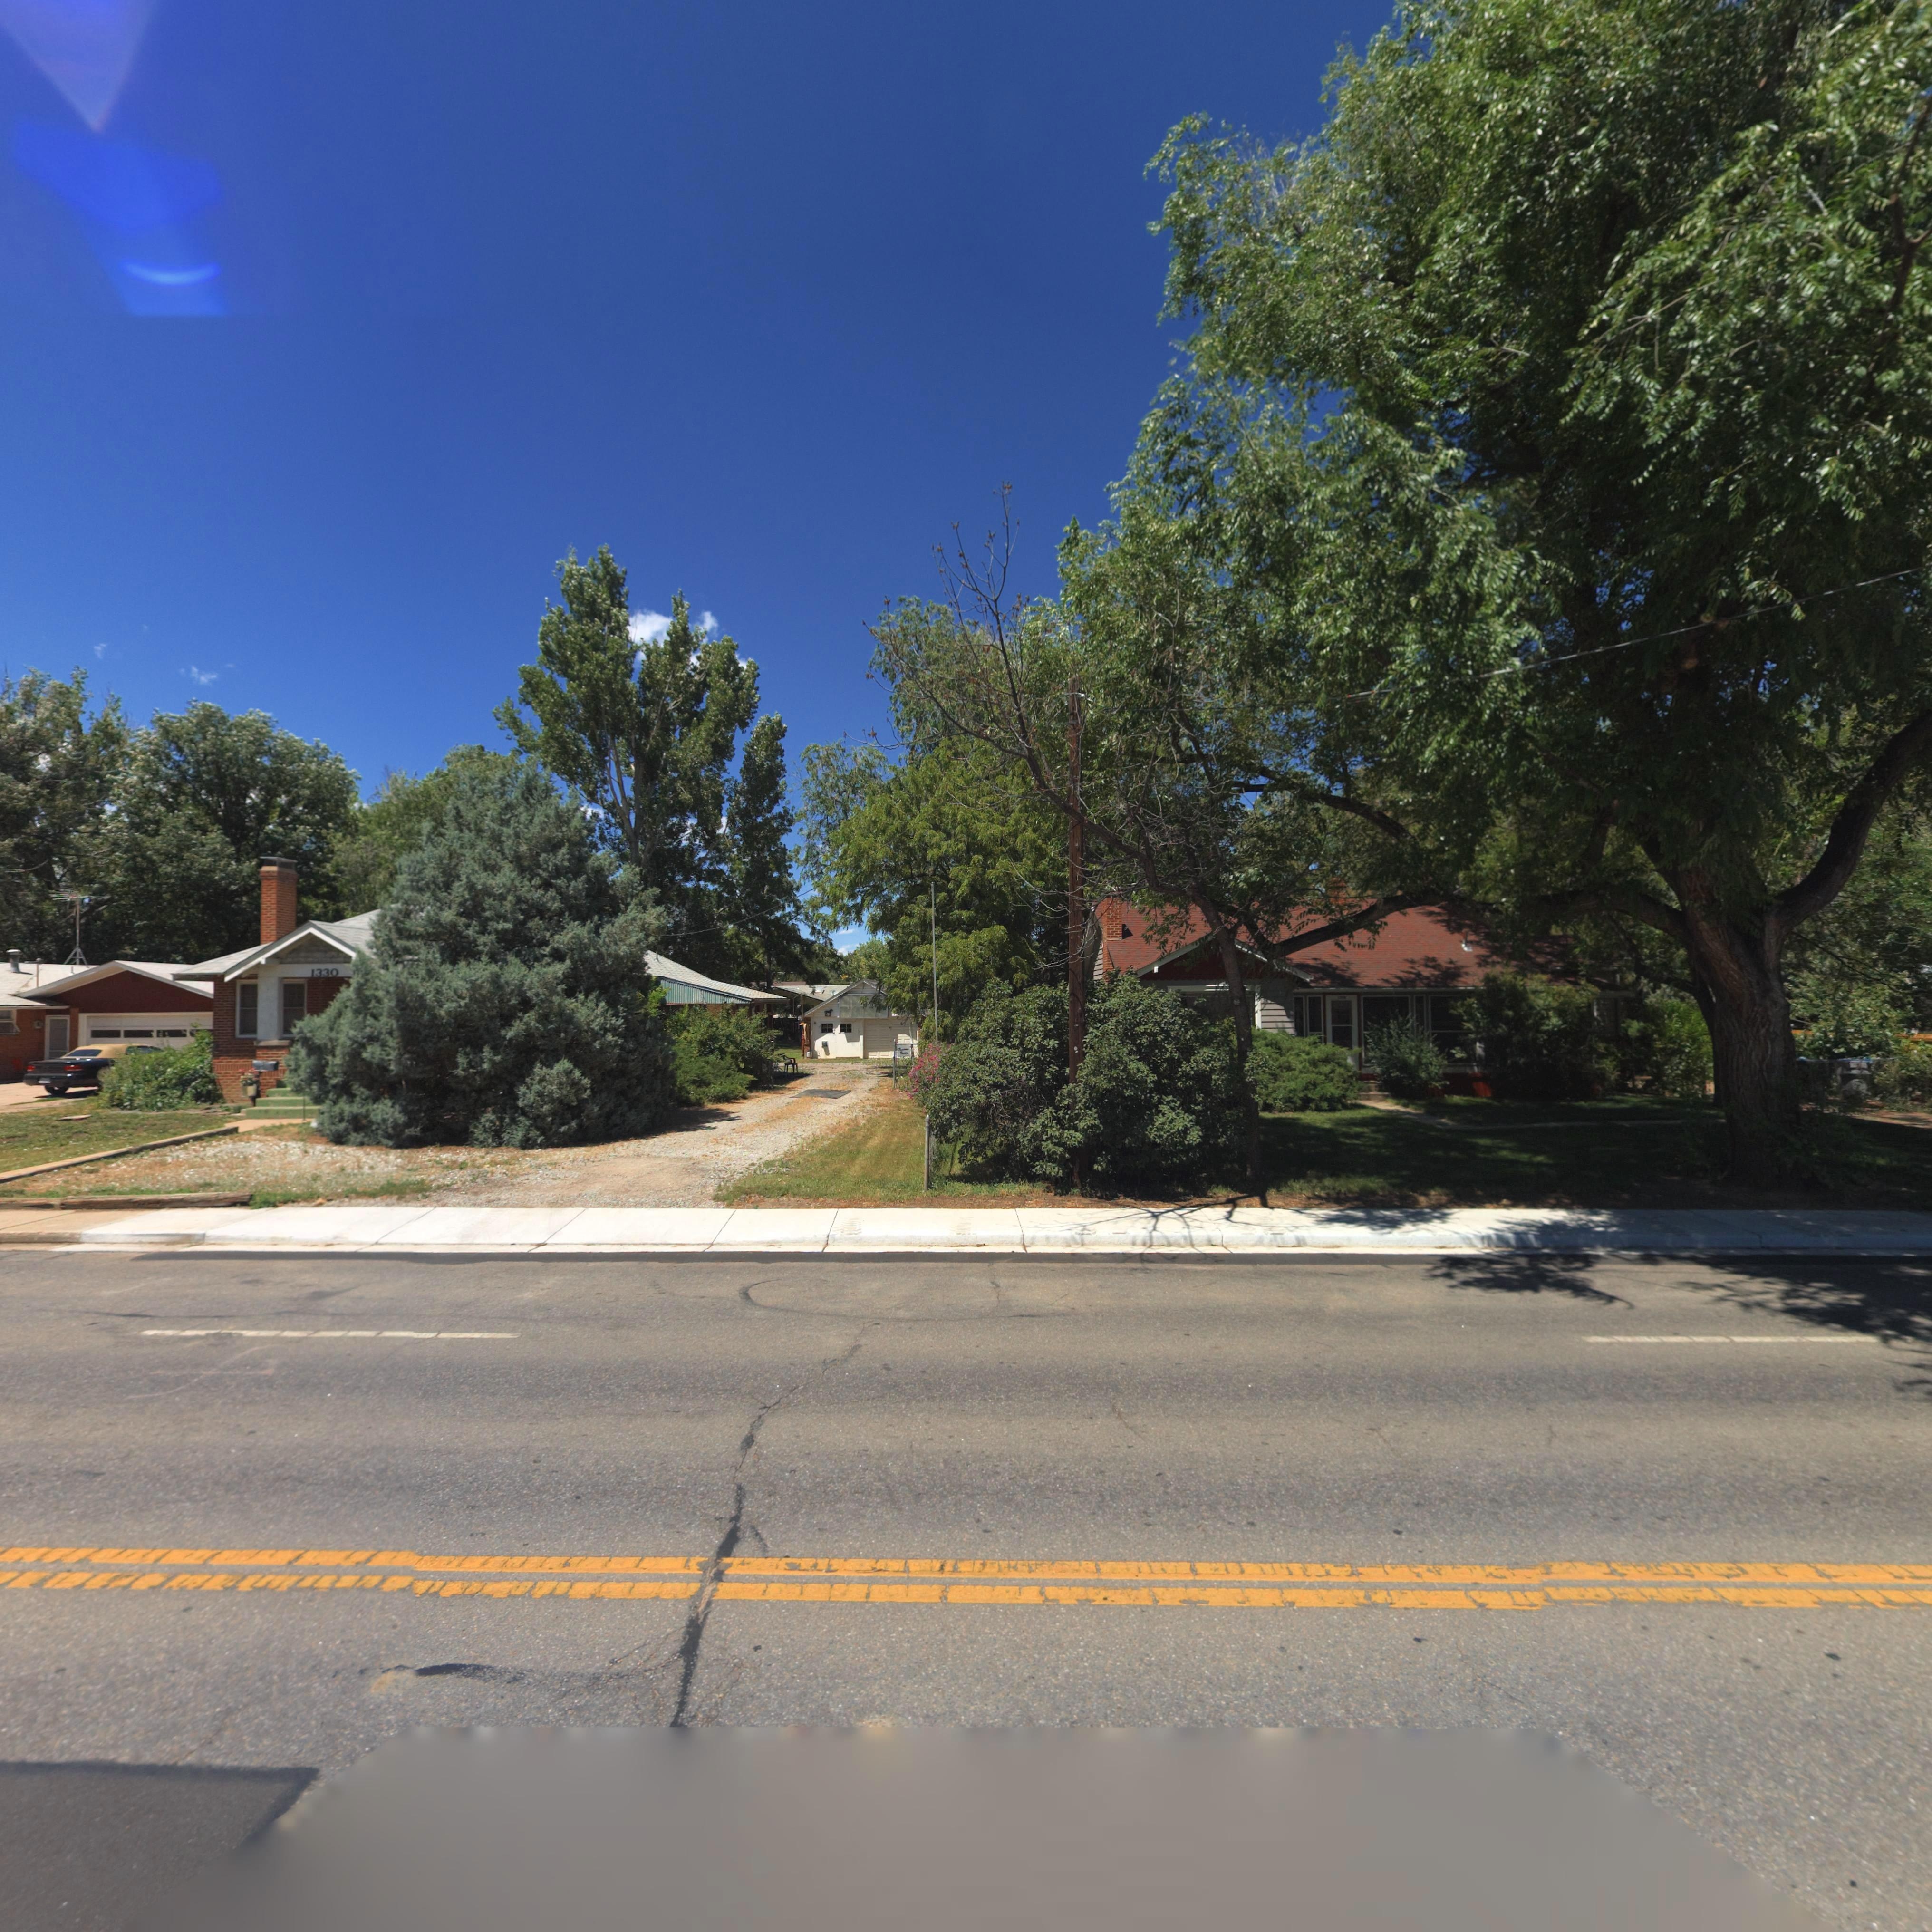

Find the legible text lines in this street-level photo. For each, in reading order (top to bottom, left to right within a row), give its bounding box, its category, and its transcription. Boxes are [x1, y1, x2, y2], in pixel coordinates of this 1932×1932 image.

[311, 968, 338, 977] StreetNumber: 1330